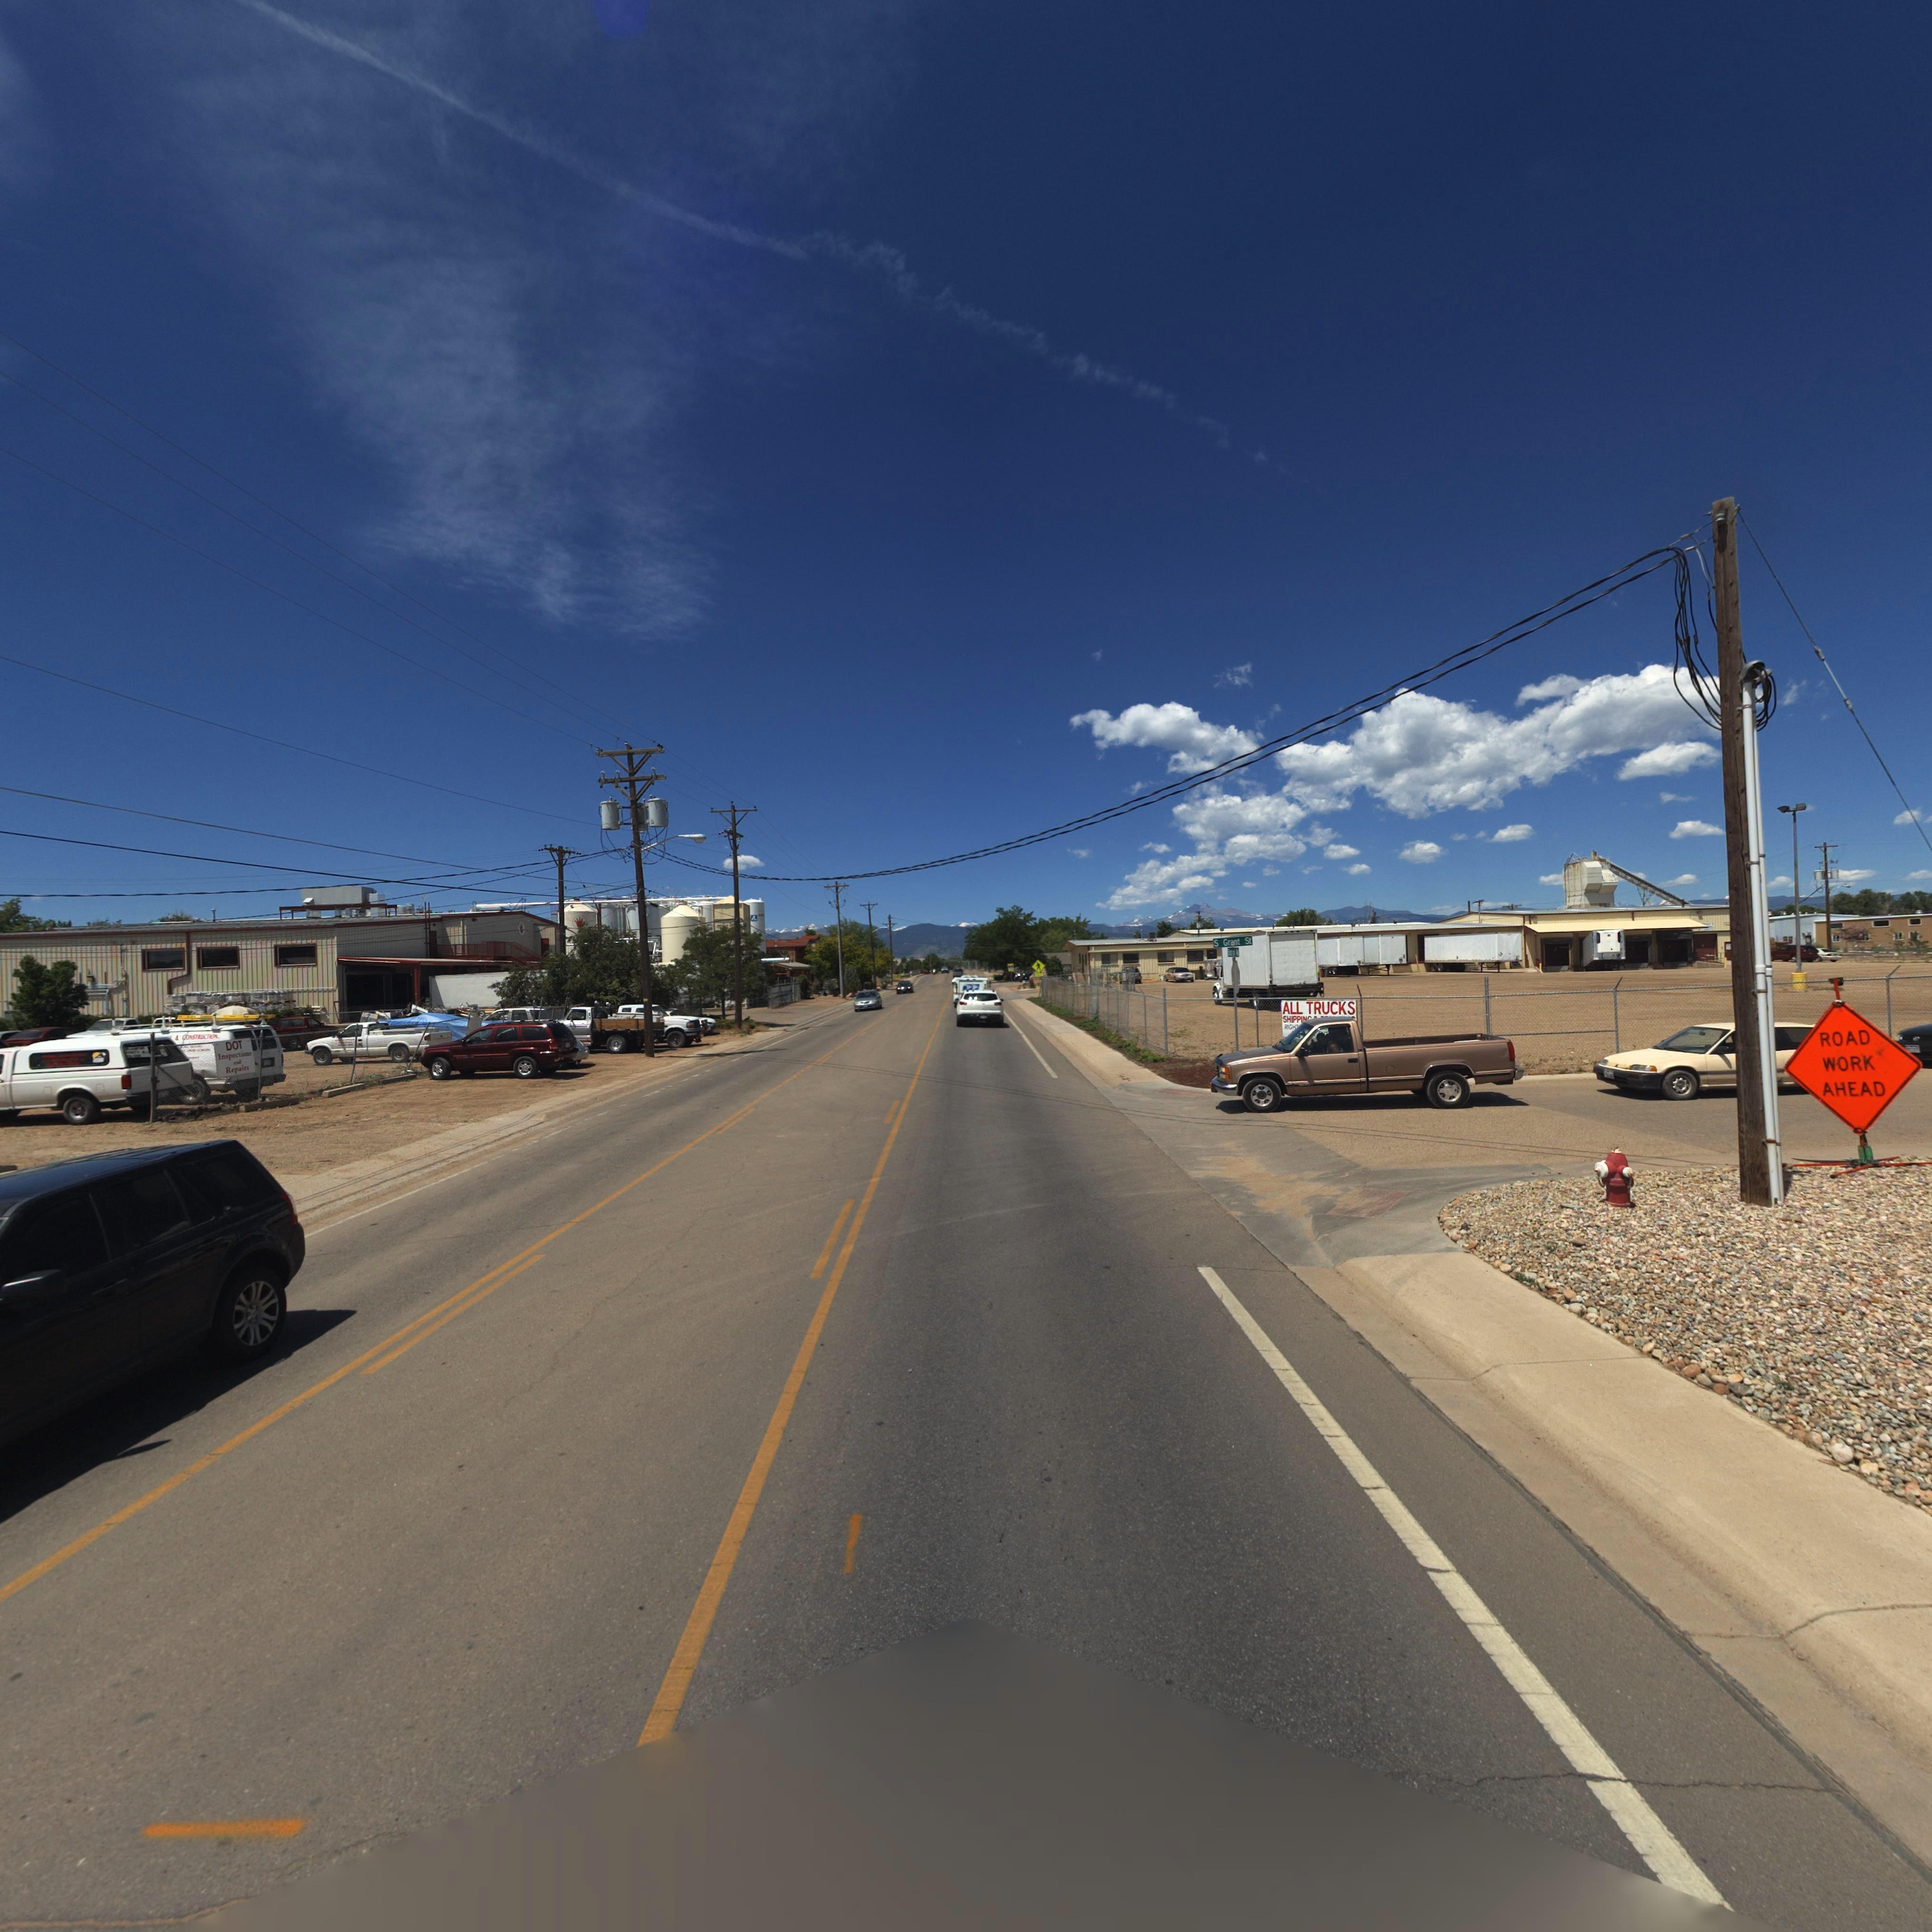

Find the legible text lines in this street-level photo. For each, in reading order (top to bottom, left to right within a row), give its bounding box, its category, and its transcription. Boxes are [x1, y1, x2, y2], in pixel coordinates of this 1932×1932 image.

[1214, 937, 1252, 947] StreetName: S Grant St